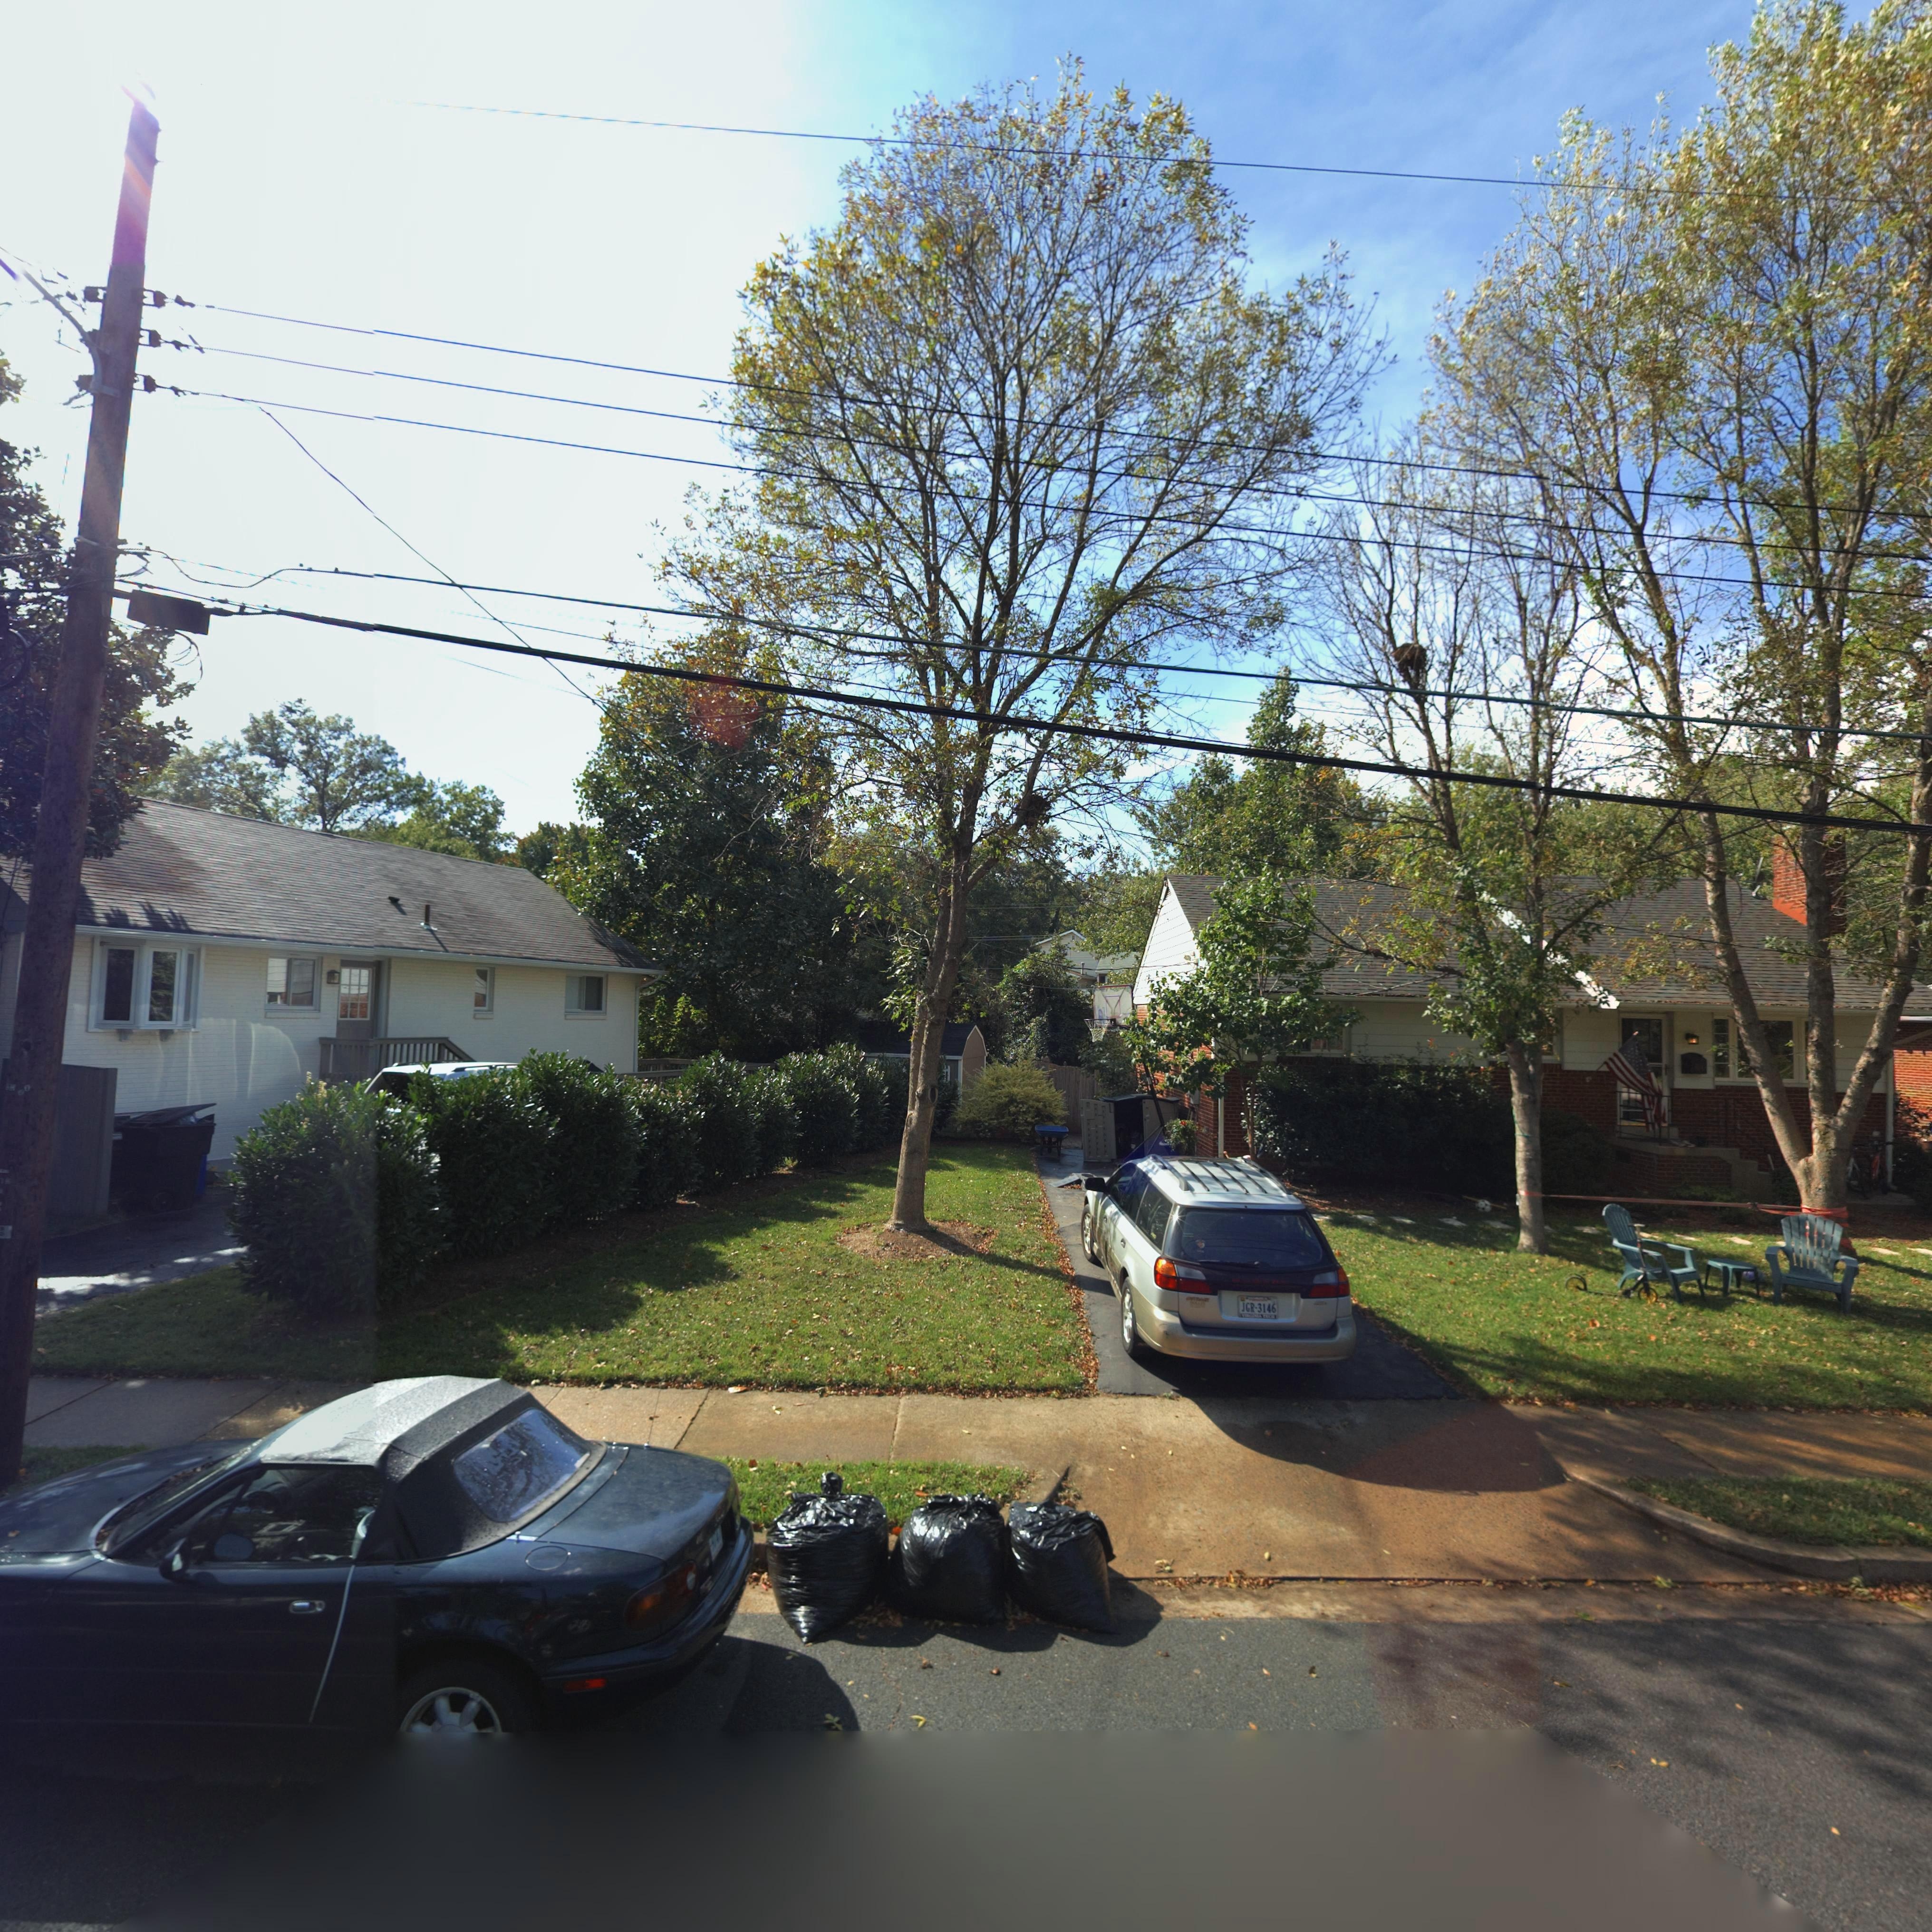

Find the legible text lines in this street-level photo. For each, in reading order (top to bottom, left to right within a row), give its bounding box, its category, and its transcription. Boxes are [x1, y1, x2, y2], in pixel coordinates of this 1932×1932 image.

[1240, 1301, 1278, 1314] None: JGR-3146